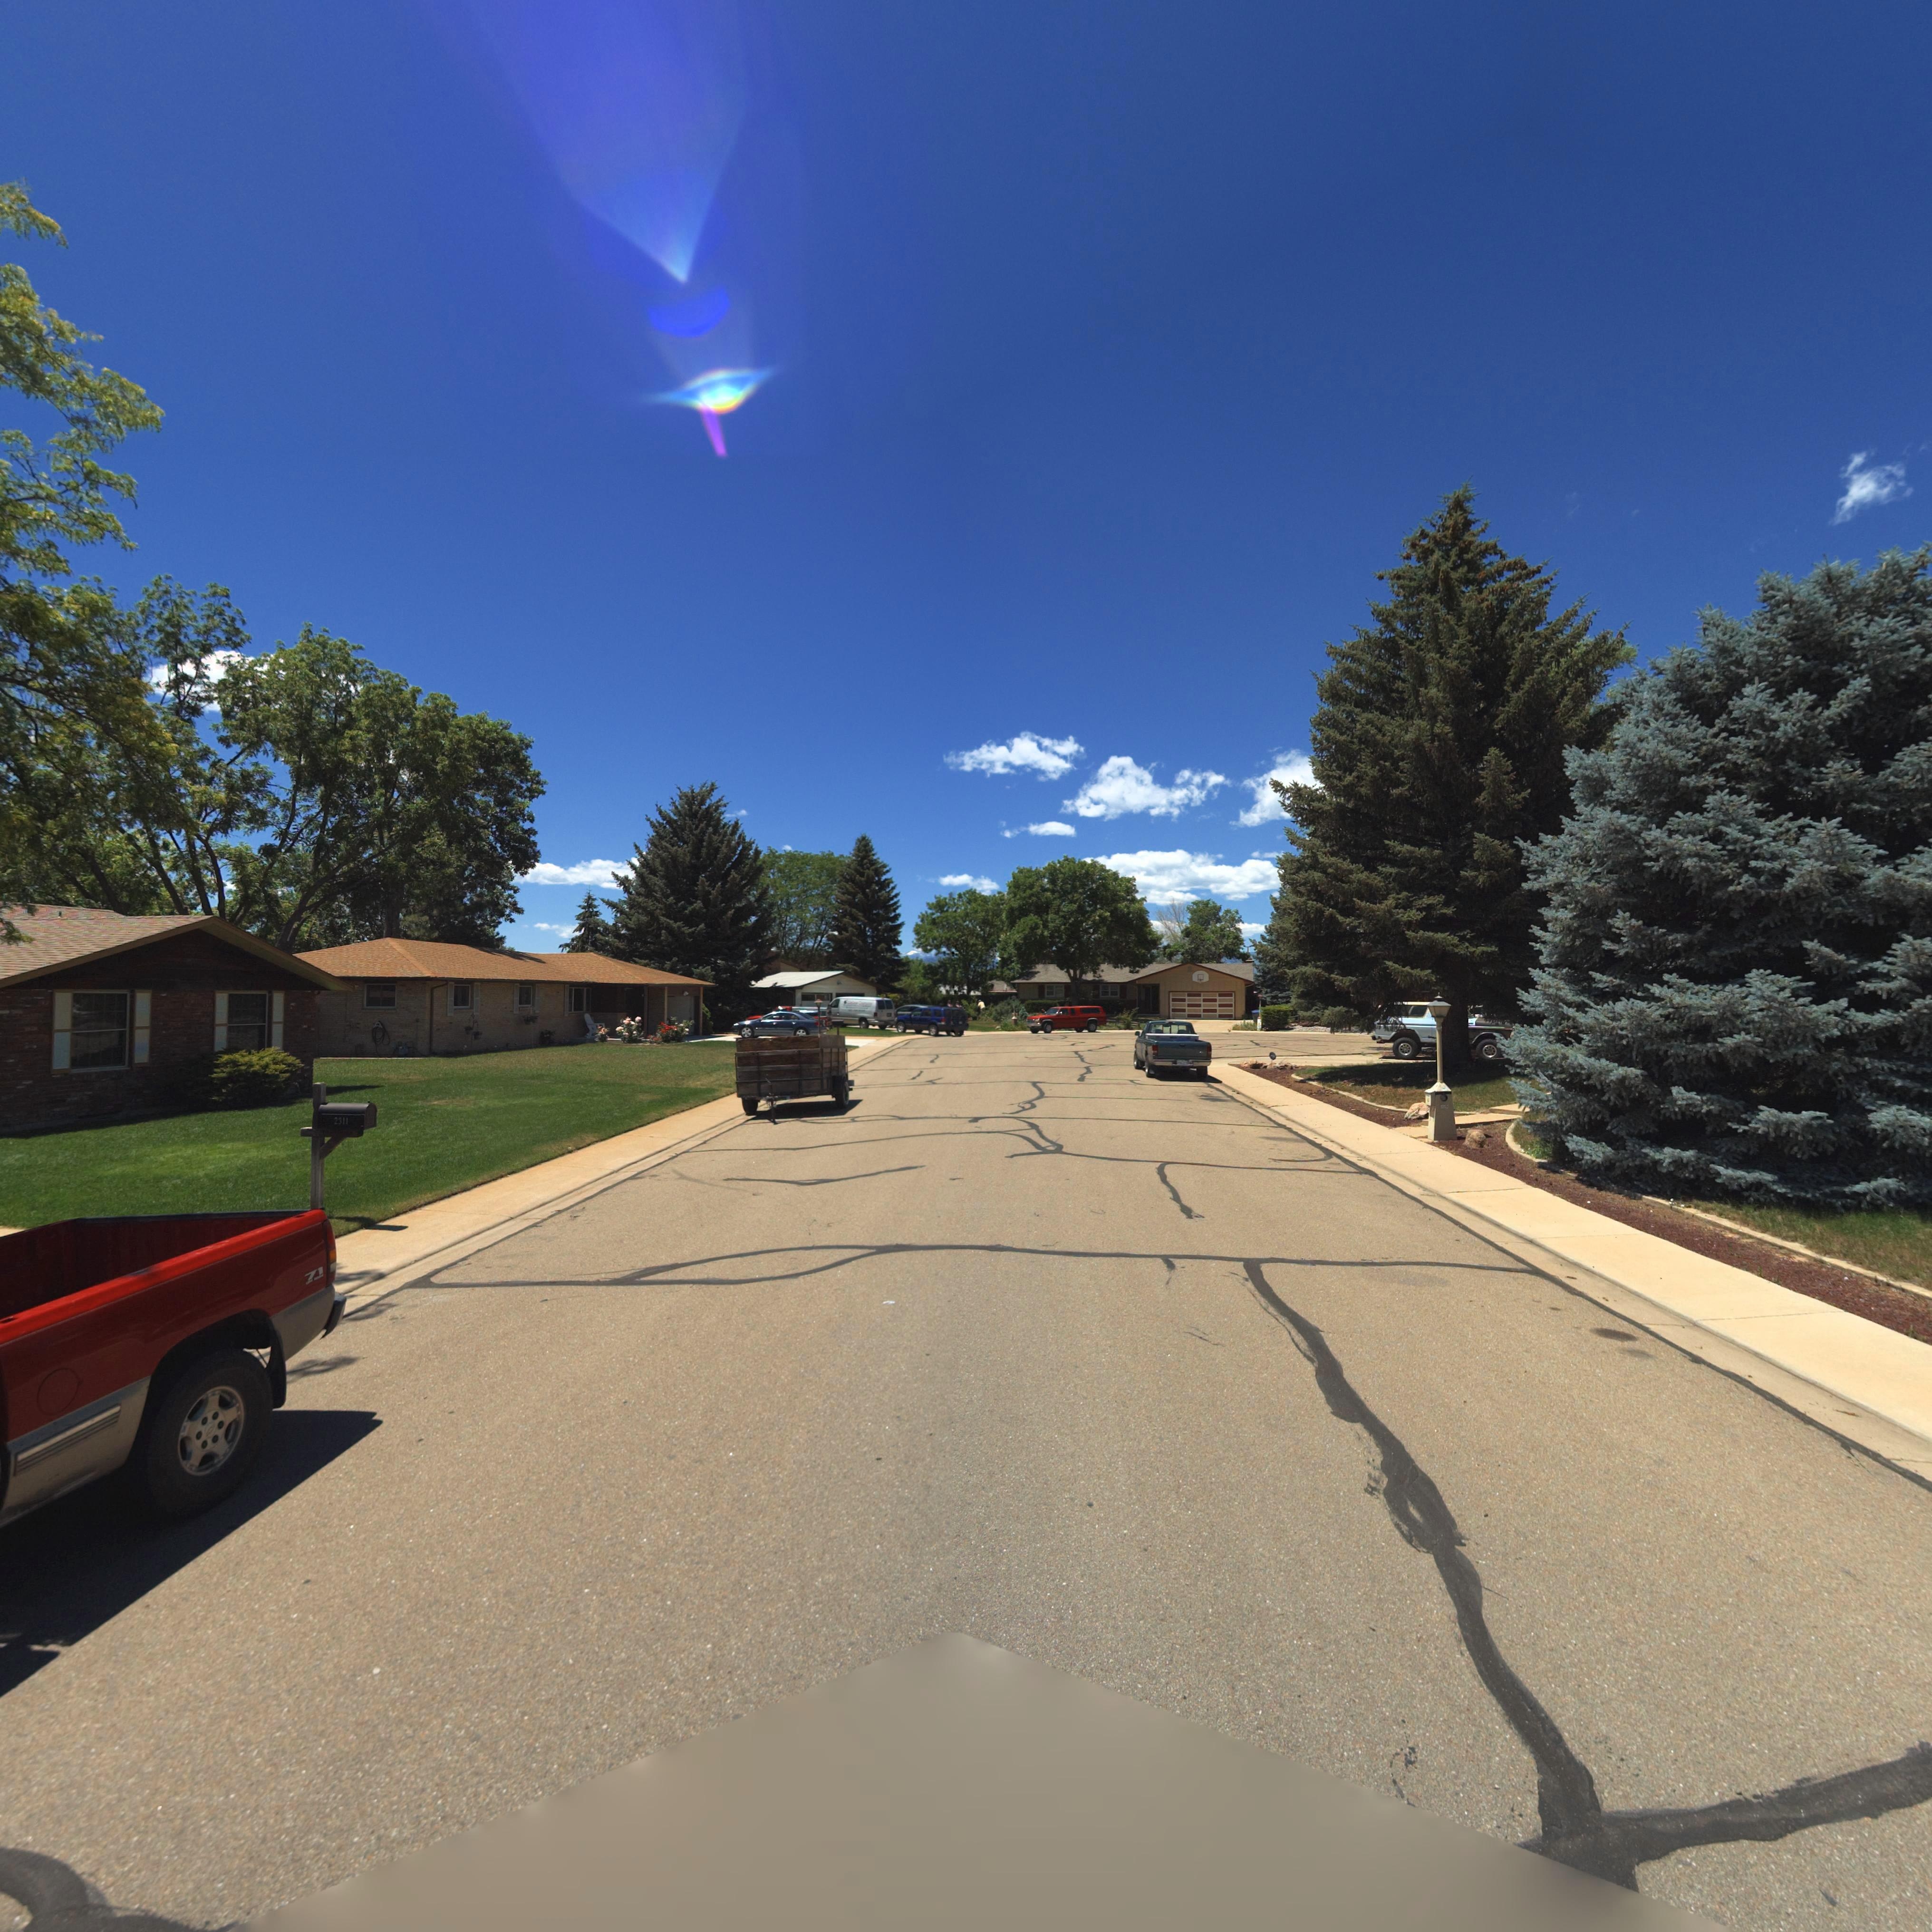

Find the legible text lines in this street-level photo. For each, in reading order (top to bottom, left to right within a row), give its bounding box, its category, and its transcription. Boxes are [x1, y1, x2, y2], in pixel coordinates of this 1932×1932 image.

[333, 1116, 348, 1125] StreetNumber: 2311